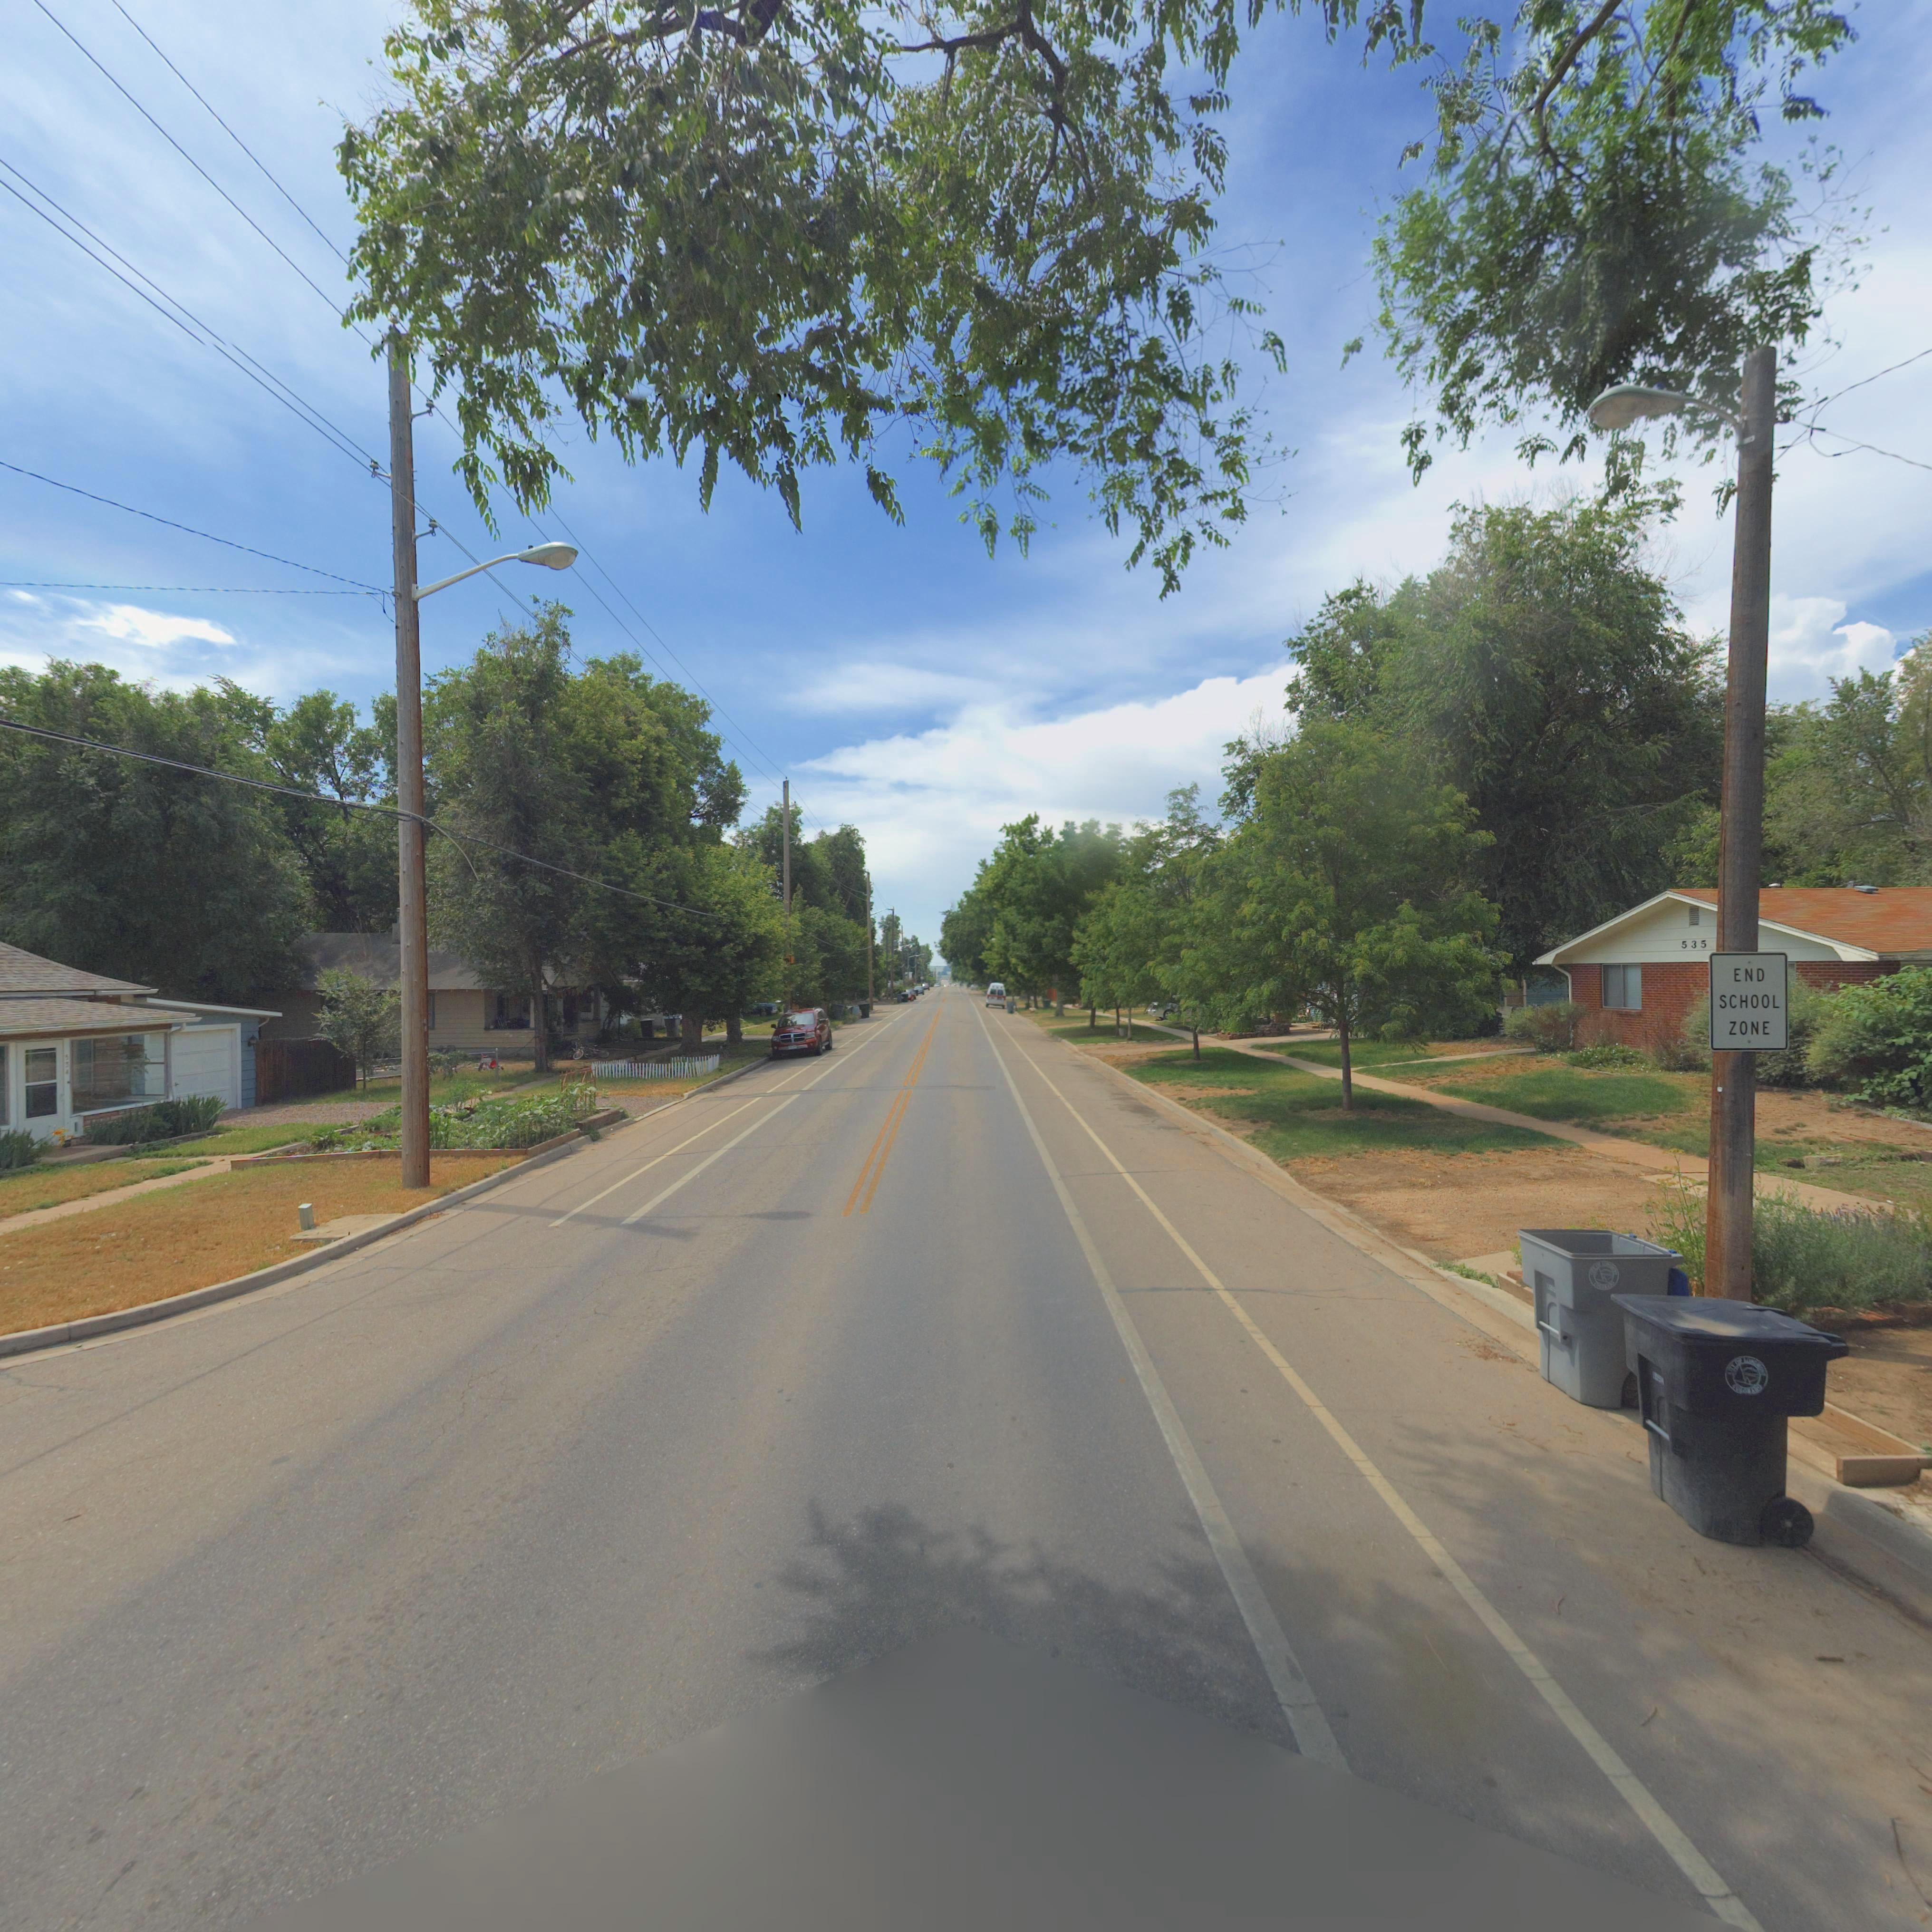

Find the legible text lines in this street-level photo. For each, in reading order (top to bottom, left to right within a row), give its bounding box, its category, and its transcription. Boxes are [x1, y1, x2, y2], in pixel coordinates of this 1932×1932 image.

[1681, 939, 1706, 948] StreetNumber: 535
[65, 1053, 69, 1075] StreetNumber: 534